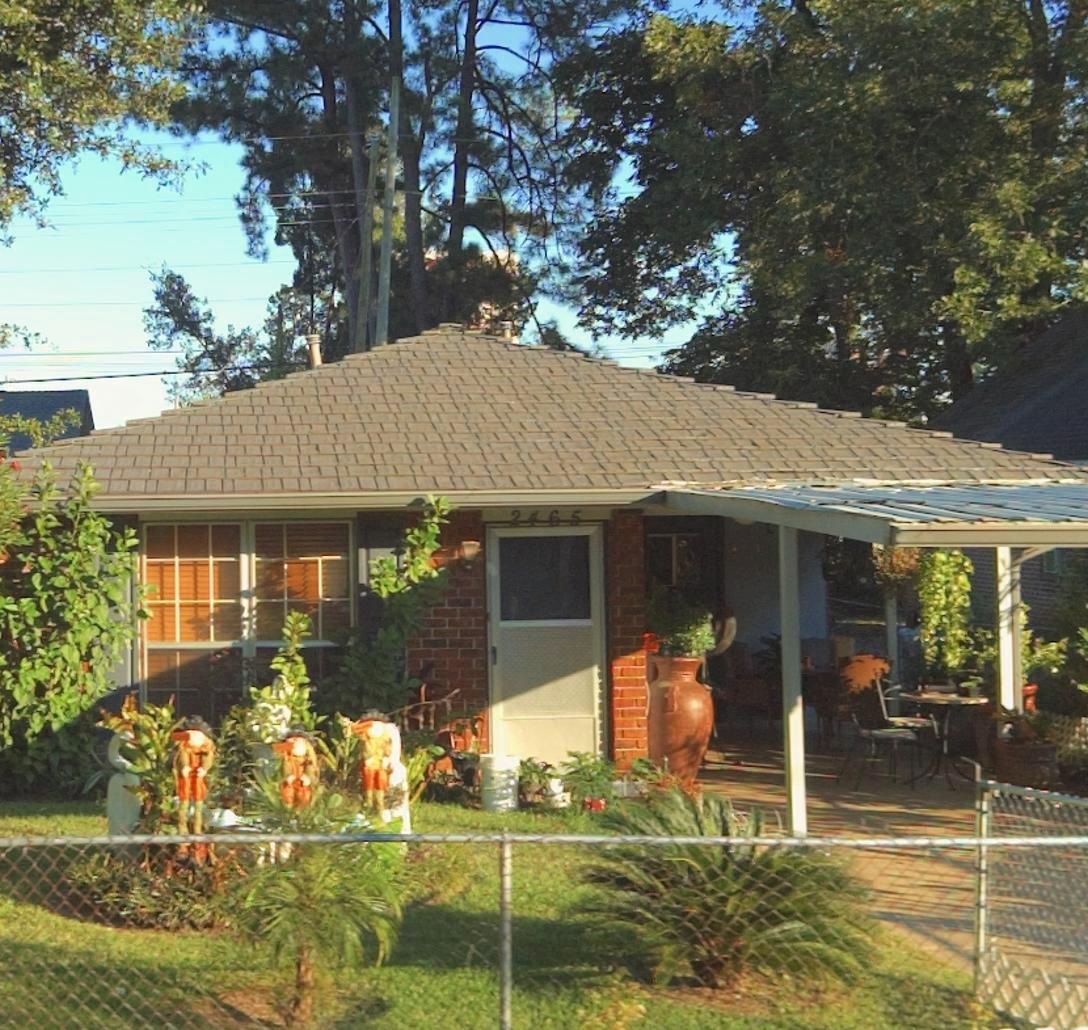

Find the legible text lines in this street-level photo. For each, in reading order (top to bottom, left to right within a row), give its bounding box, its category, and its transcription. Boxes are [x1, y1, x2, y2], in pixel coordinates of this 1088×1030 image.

[508, 507, 583, 528] StreetNumber: 2465